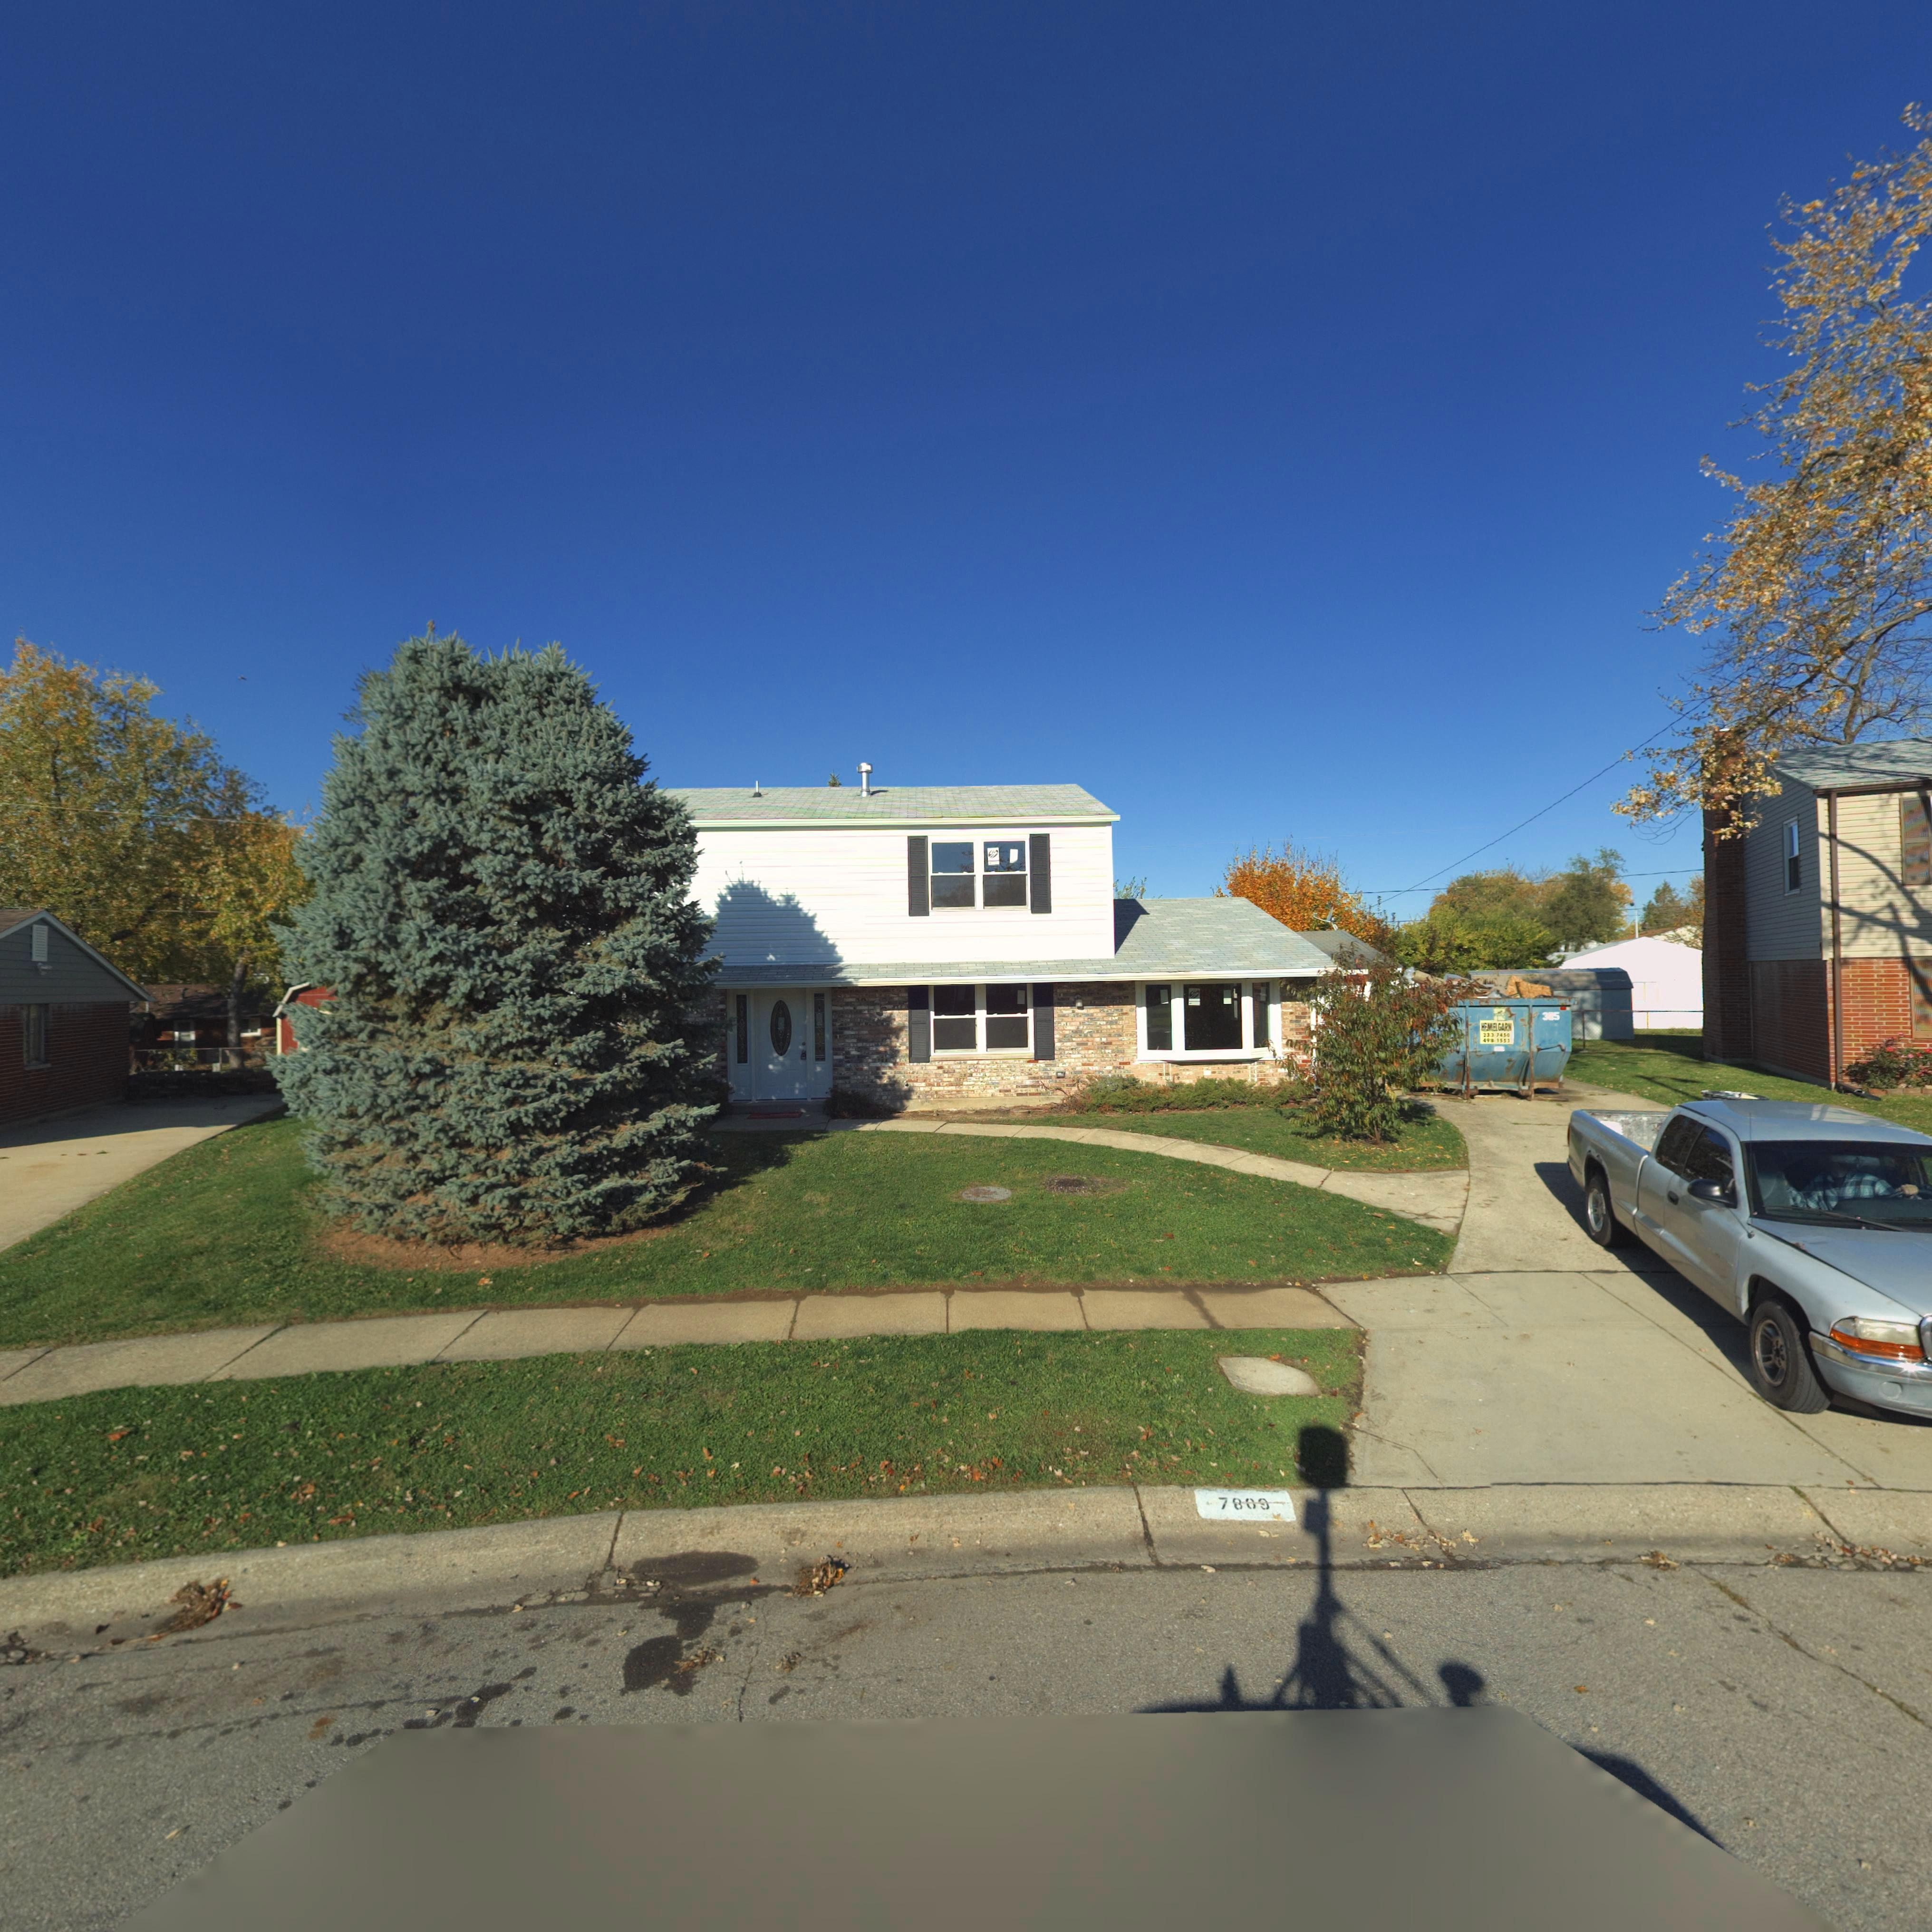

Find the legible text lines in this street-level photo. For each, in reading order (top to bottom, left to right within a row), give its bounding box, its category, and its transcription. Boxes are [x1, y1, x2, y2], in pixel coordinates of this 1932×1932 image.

[1217, 1496, 1271, 1510] StreetNumber: 7809